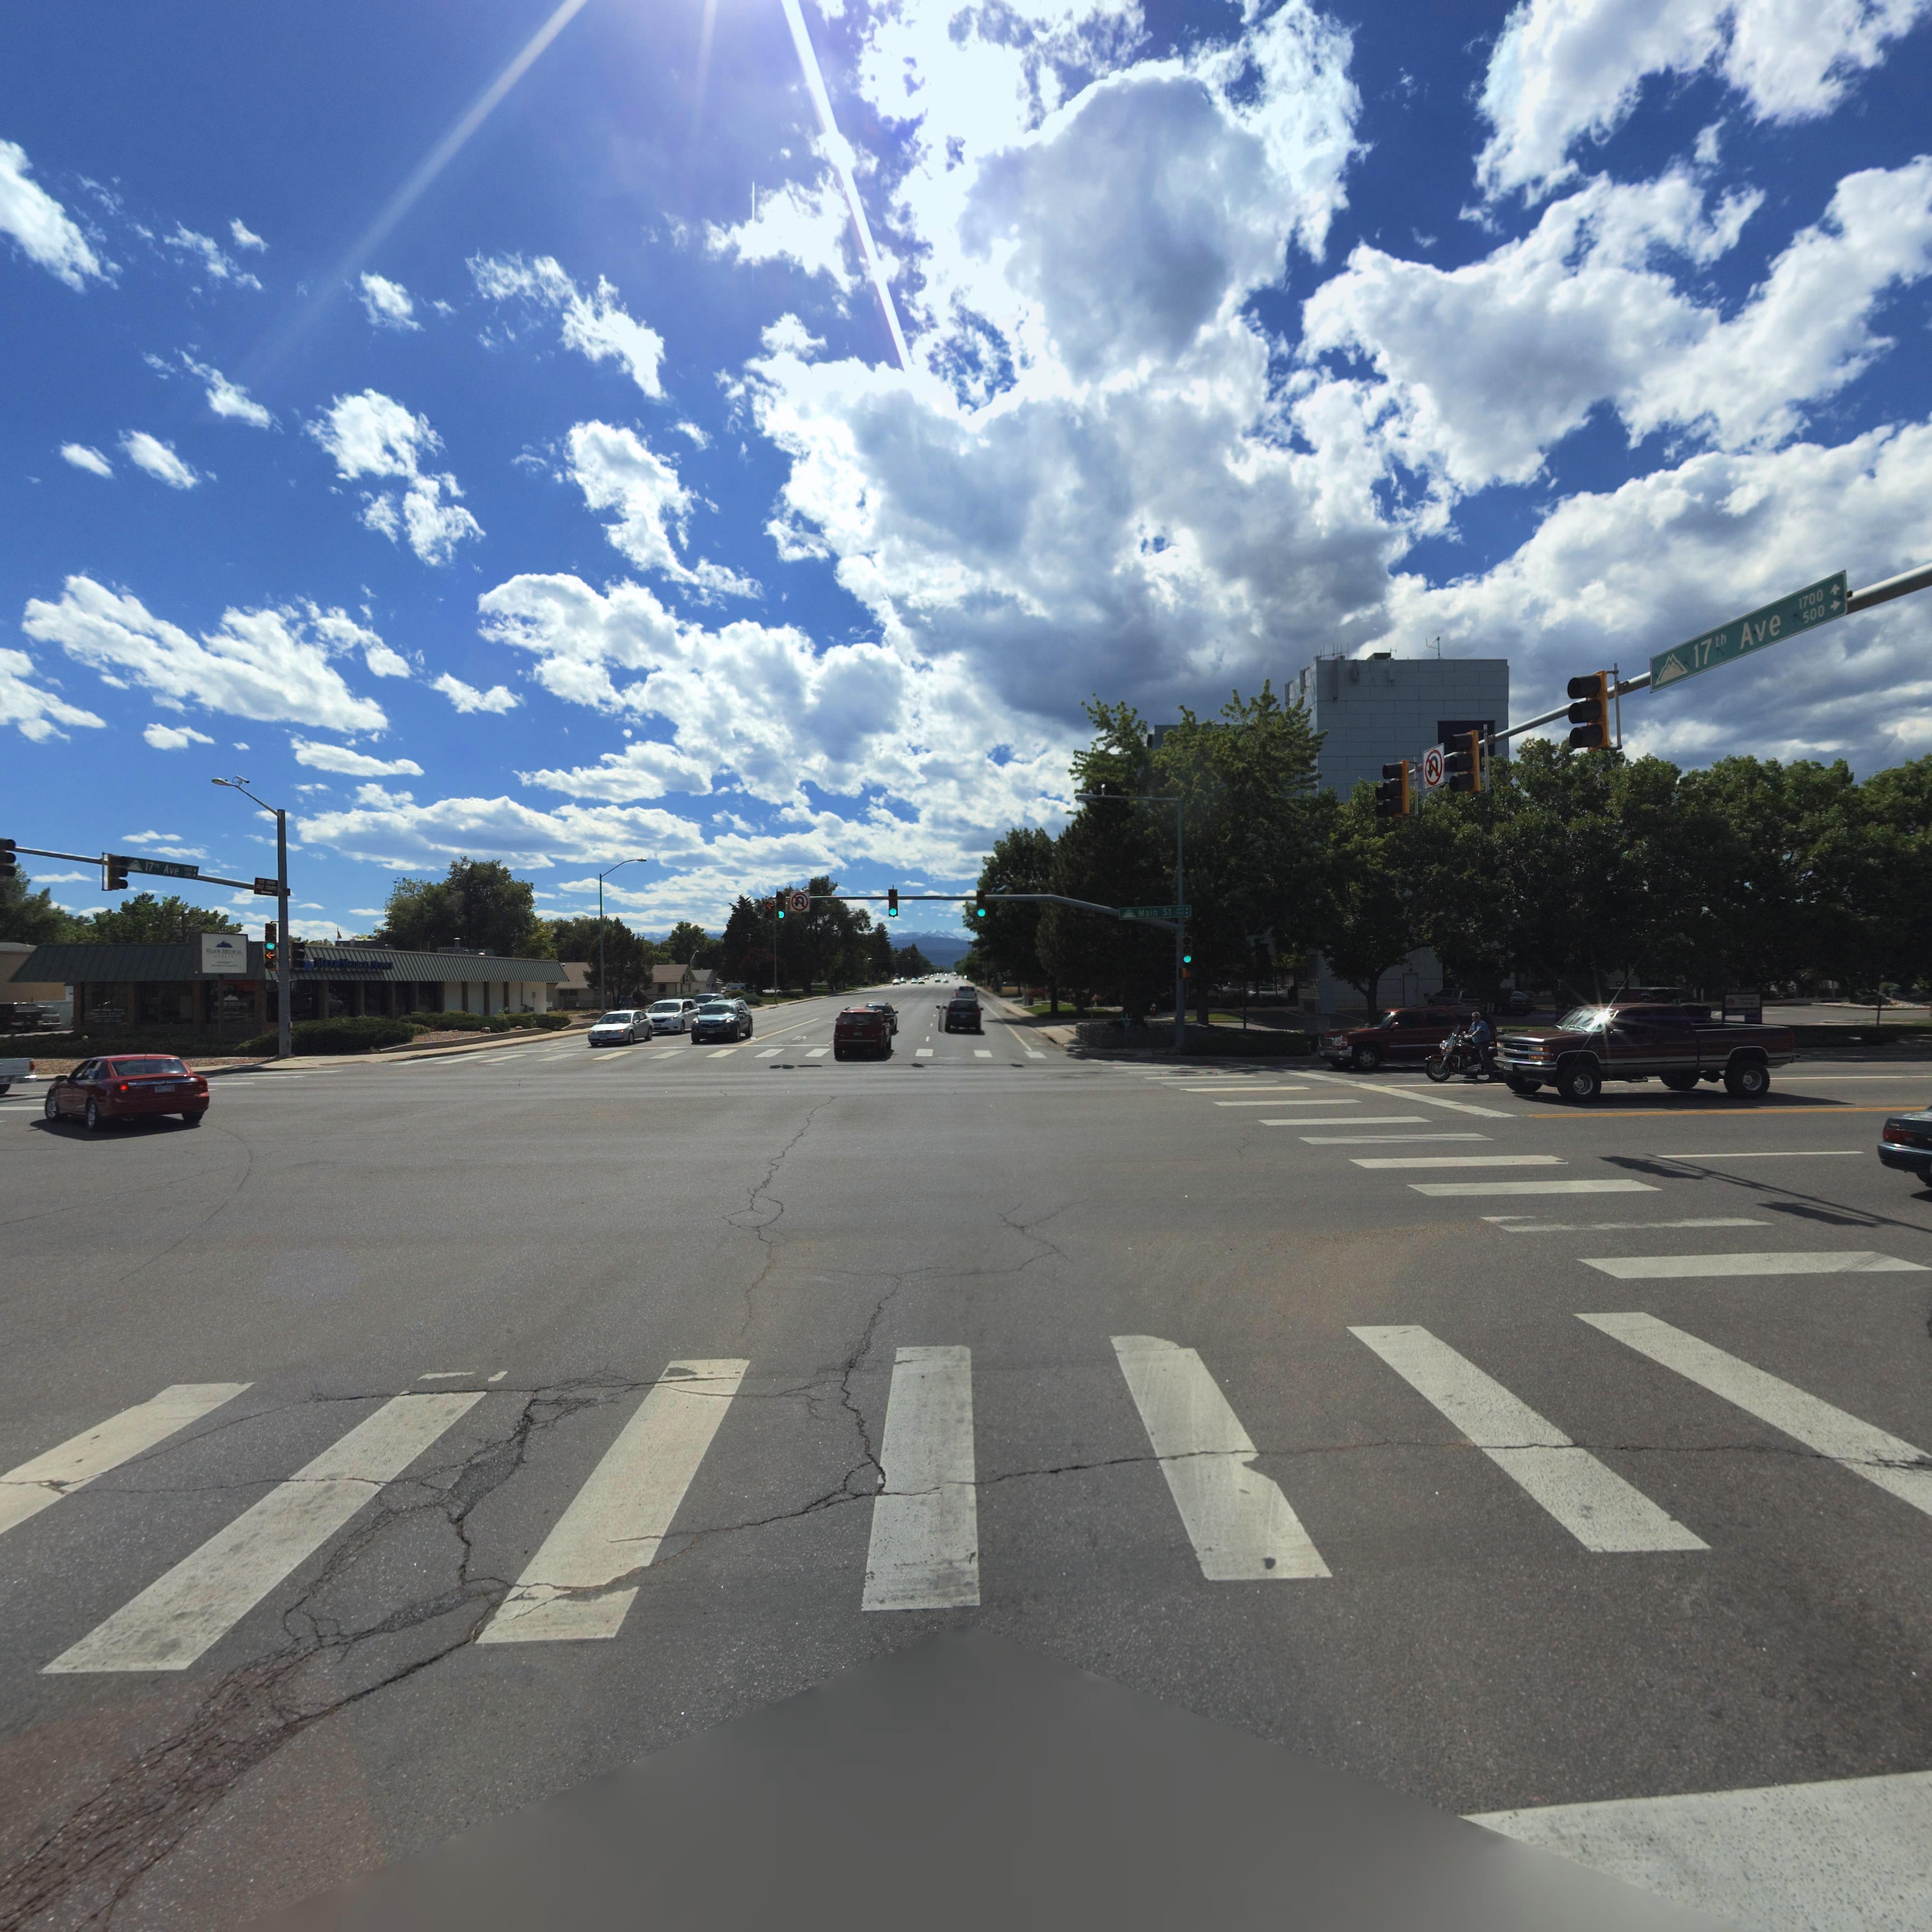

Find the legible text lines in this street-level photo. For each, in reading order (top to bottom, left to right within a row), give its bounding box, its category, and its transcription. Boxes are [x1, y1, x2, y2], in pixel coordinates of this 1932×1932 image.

[1797, 588, 1825, 610] StreetNumberRange: 1700
[1802, 596, 1844, 624] StreetNumberRange: 500 ->
[1691, 612, 1782, 669] StreetName: 17th Ave
[145, 860, 179, 876] StreetName: 17th Ave
[184, 866, 193, 872] StreetNumberRange: *0*
[184, 872, 196, 878] StreetNumberRange: **0 *
[1138, 907, 1172, 918] StreetName: Main St
[1176, 907, 1184, 911] StreetNumberRange: *00
[1175, 911, 1188, 916] StreetNumberRange: **00 *
[206, 947, 244, 955] BusinessName: M**** M***CAL
[214, 954, 233, 958] BusinessName: S*****
[314, 956, 395, 971] BusinessName: MAJOR MEDICAL SUPPLY
[213, 1001, 249, 1006] BusinessName: M**** M*****L